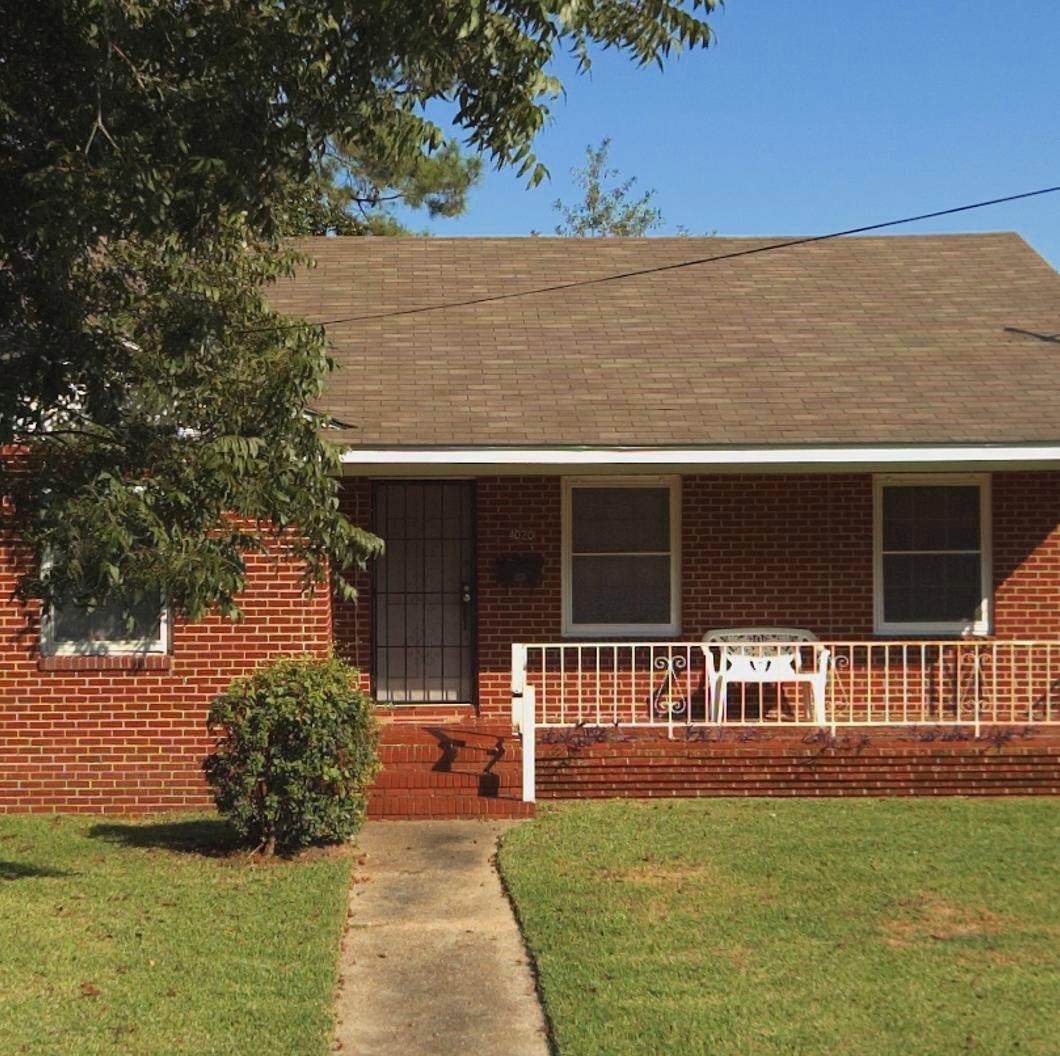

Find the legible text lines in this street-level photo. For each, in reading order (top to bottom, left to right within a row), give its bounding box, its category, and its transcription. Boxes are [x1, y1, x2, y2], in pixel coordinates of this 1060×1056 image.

[507, 529, 535, 541] StreetNumber: 4020